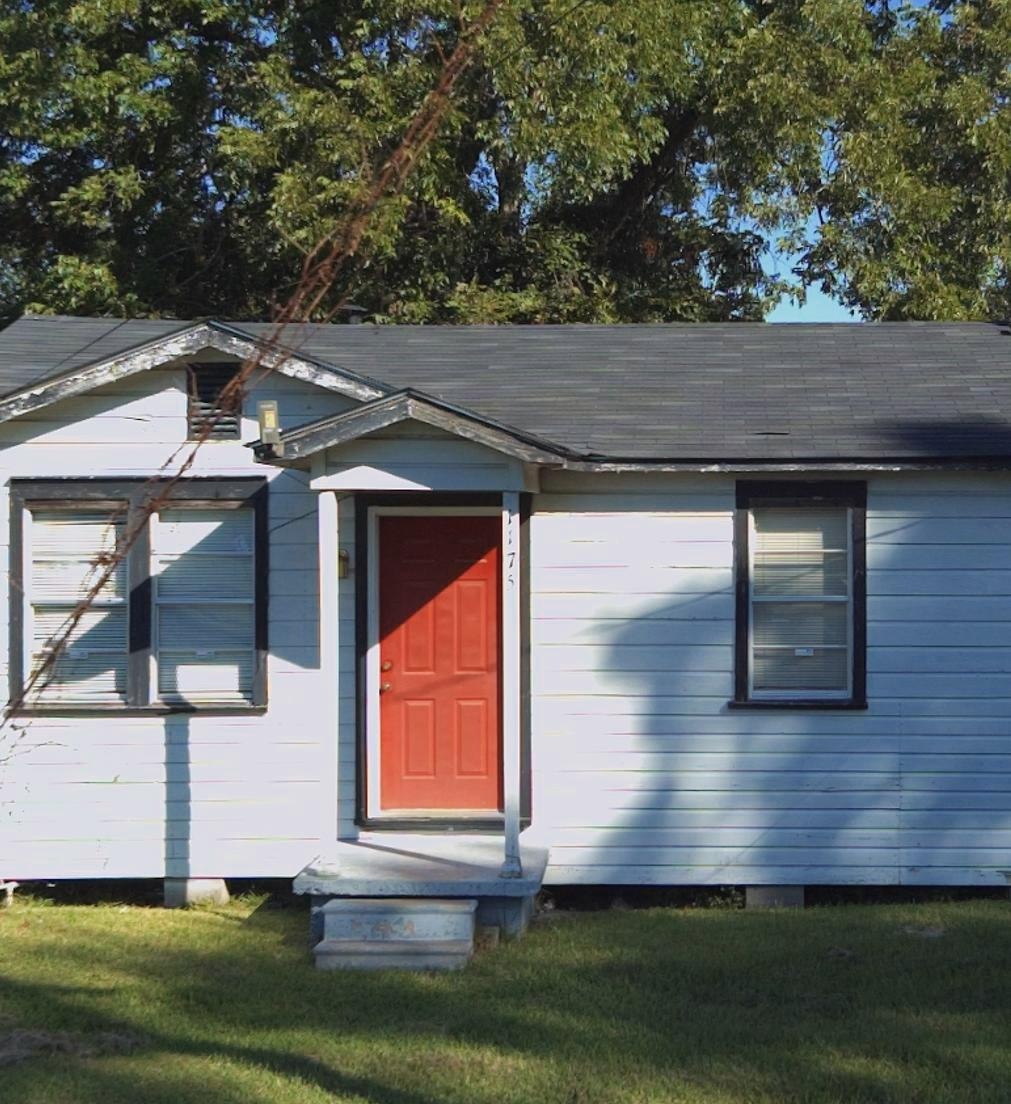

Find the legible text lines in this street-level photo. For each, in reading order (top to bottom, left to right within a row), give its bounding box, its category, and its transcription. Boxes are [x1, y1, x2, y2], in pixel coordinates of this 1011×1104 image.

[505, 503, 518, 592] StreetNumber: 1175